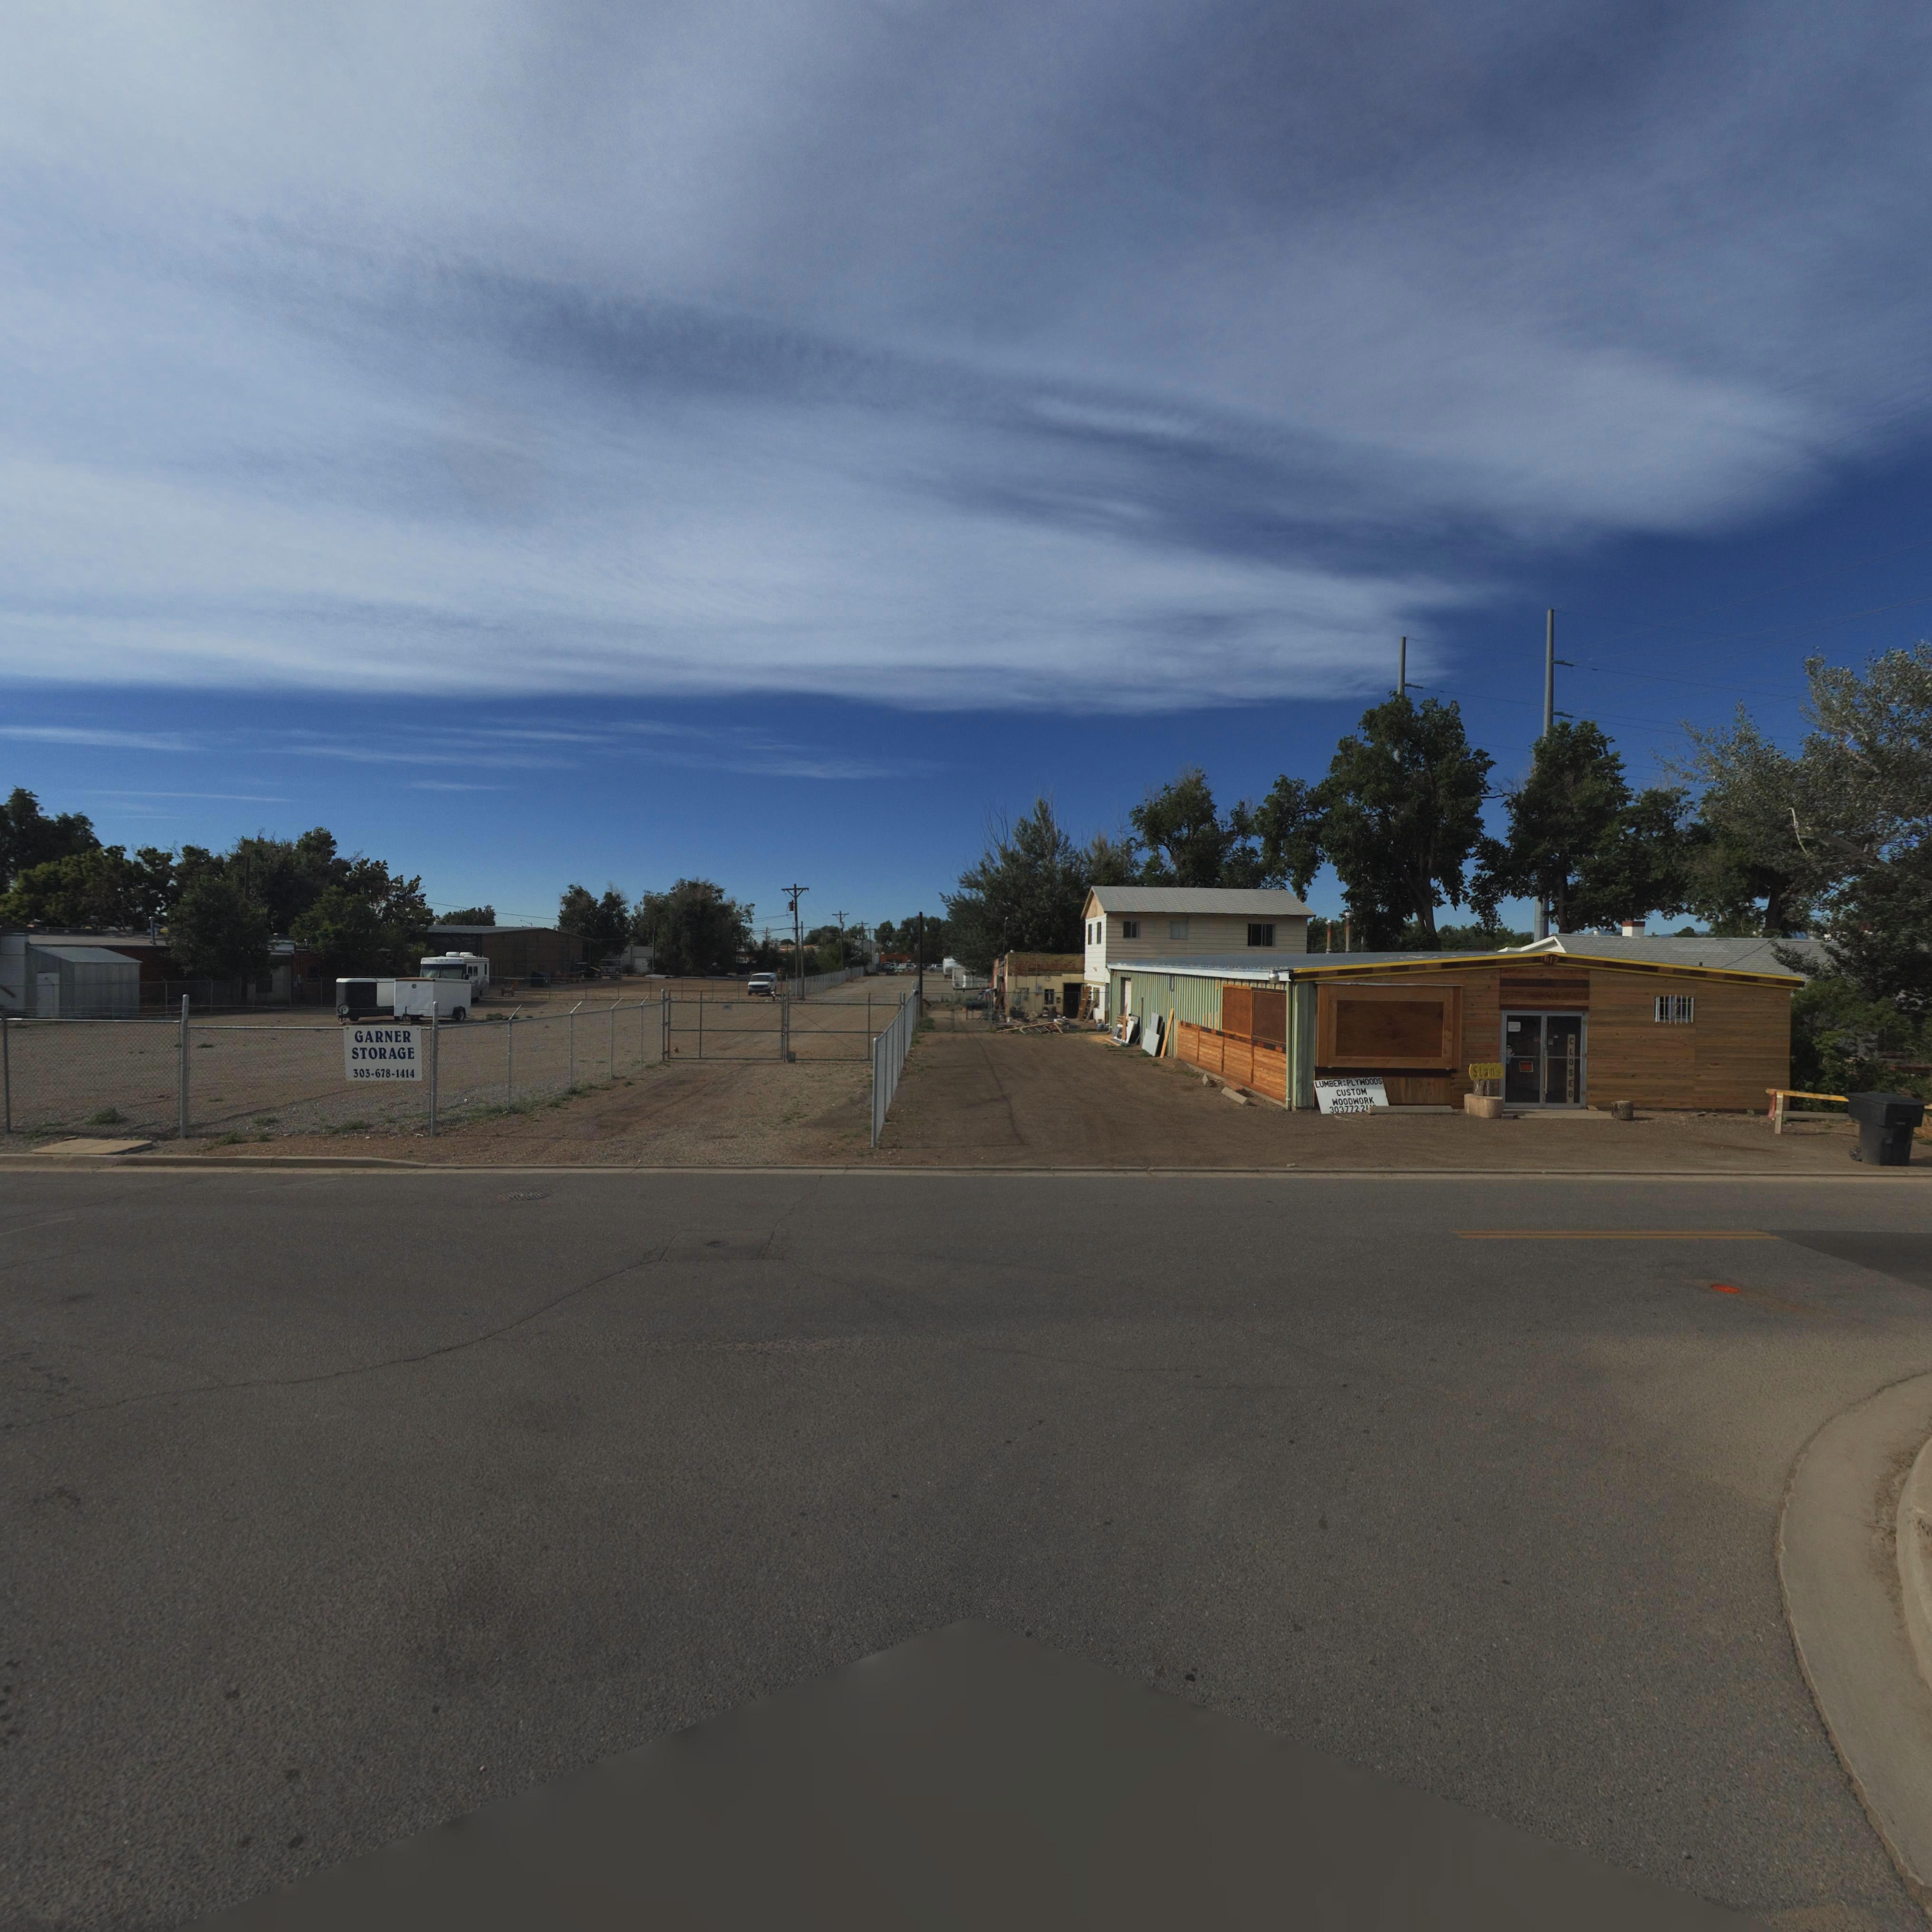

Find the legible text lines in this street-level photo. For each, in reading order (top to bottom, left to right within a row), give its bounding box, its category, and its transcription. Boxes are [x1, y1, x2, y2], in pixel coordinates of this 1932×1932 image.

[1544, 955, 1559, 964] StreetNumber: 617
[354, 1029, 412, 1043] BusinessName: GARNER
[351, 1046, 415, 1060] BusinessName: STORAGE
[1471, 1064, 1502, 1077] BusinessName: Stan's